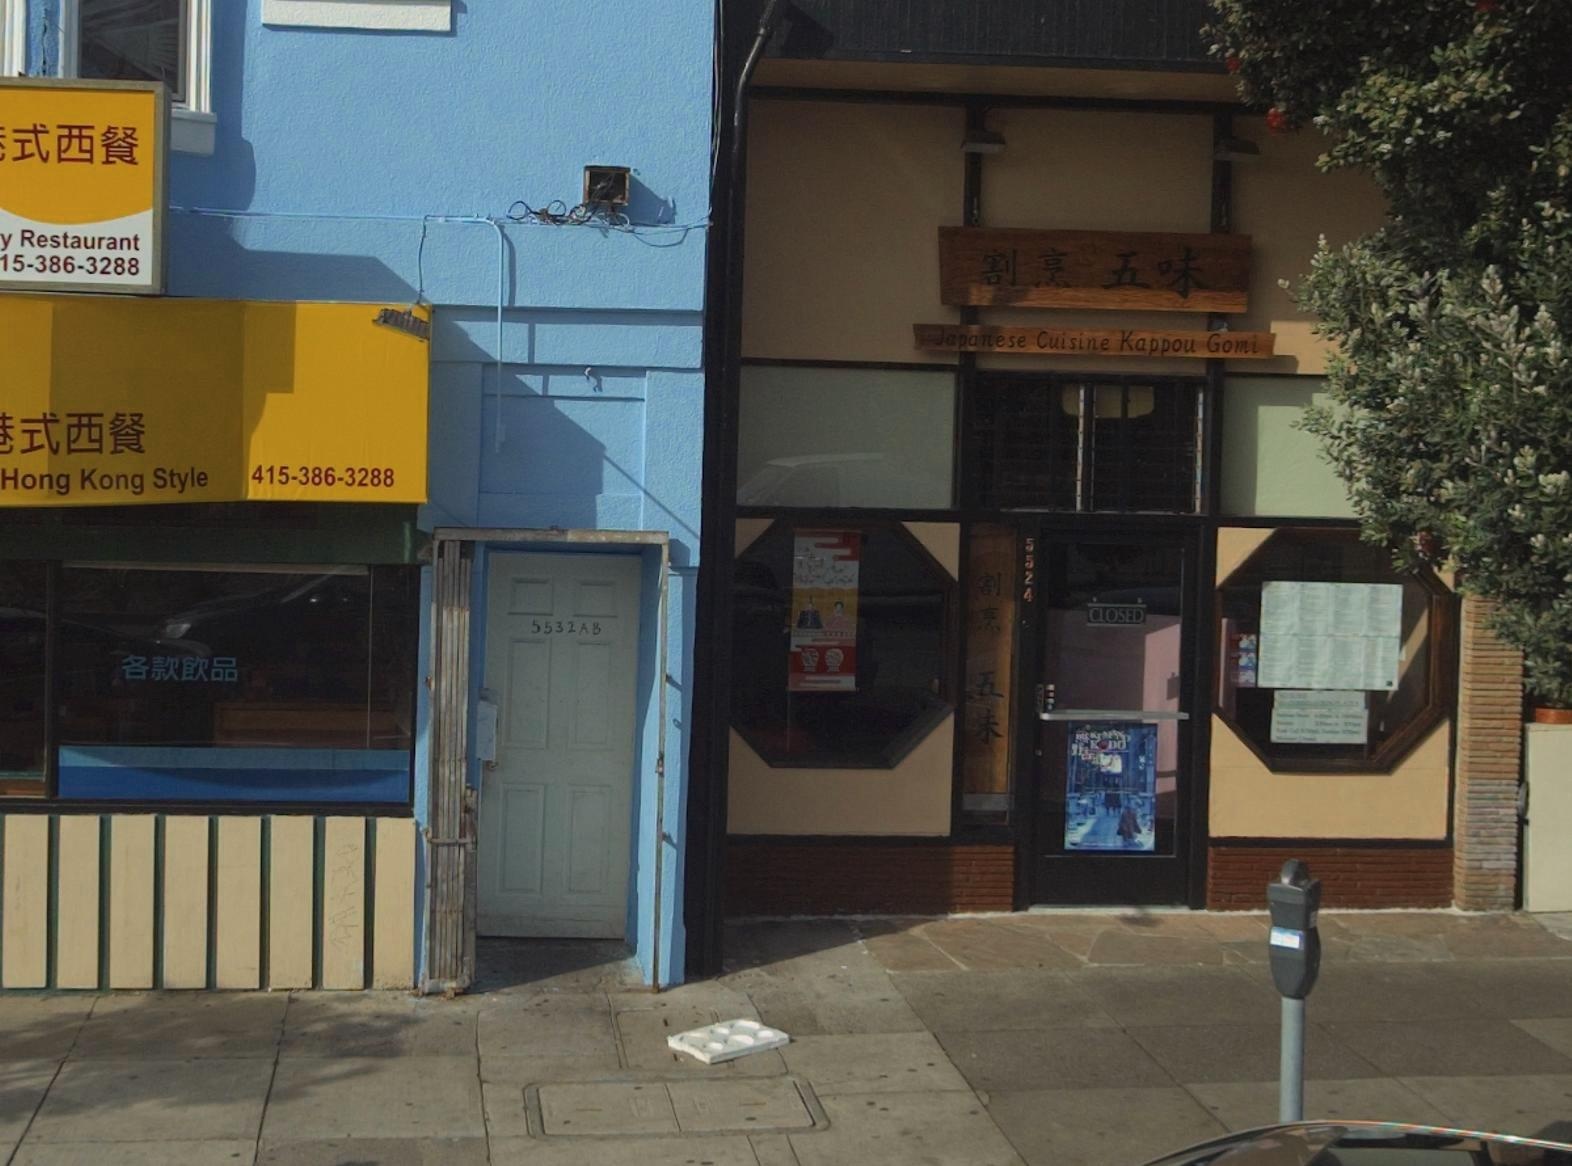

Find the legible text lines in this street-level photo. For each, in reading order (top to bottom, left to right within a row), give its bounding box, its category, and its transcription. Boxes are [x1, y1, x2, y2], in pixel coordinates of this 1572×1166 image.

[19, 227, 142, 252] None: Restaurant
[10, 251, 141, 277] None: 5-386-3288
[928, 323, 1260, 358] BusinessName: Japanese Cuisine Kappou Gomi
[0, 465, 211, 497] None: Hong Kong Style
[250, 462, 396, 488] None: 415-386-3288
[1022, 535, 1037, 604] StreetNumber: 5524
[530, 618, 603, 637] StreetNumber: 5532 AB
[1087, 606, 1146, 623] None: CLOSED